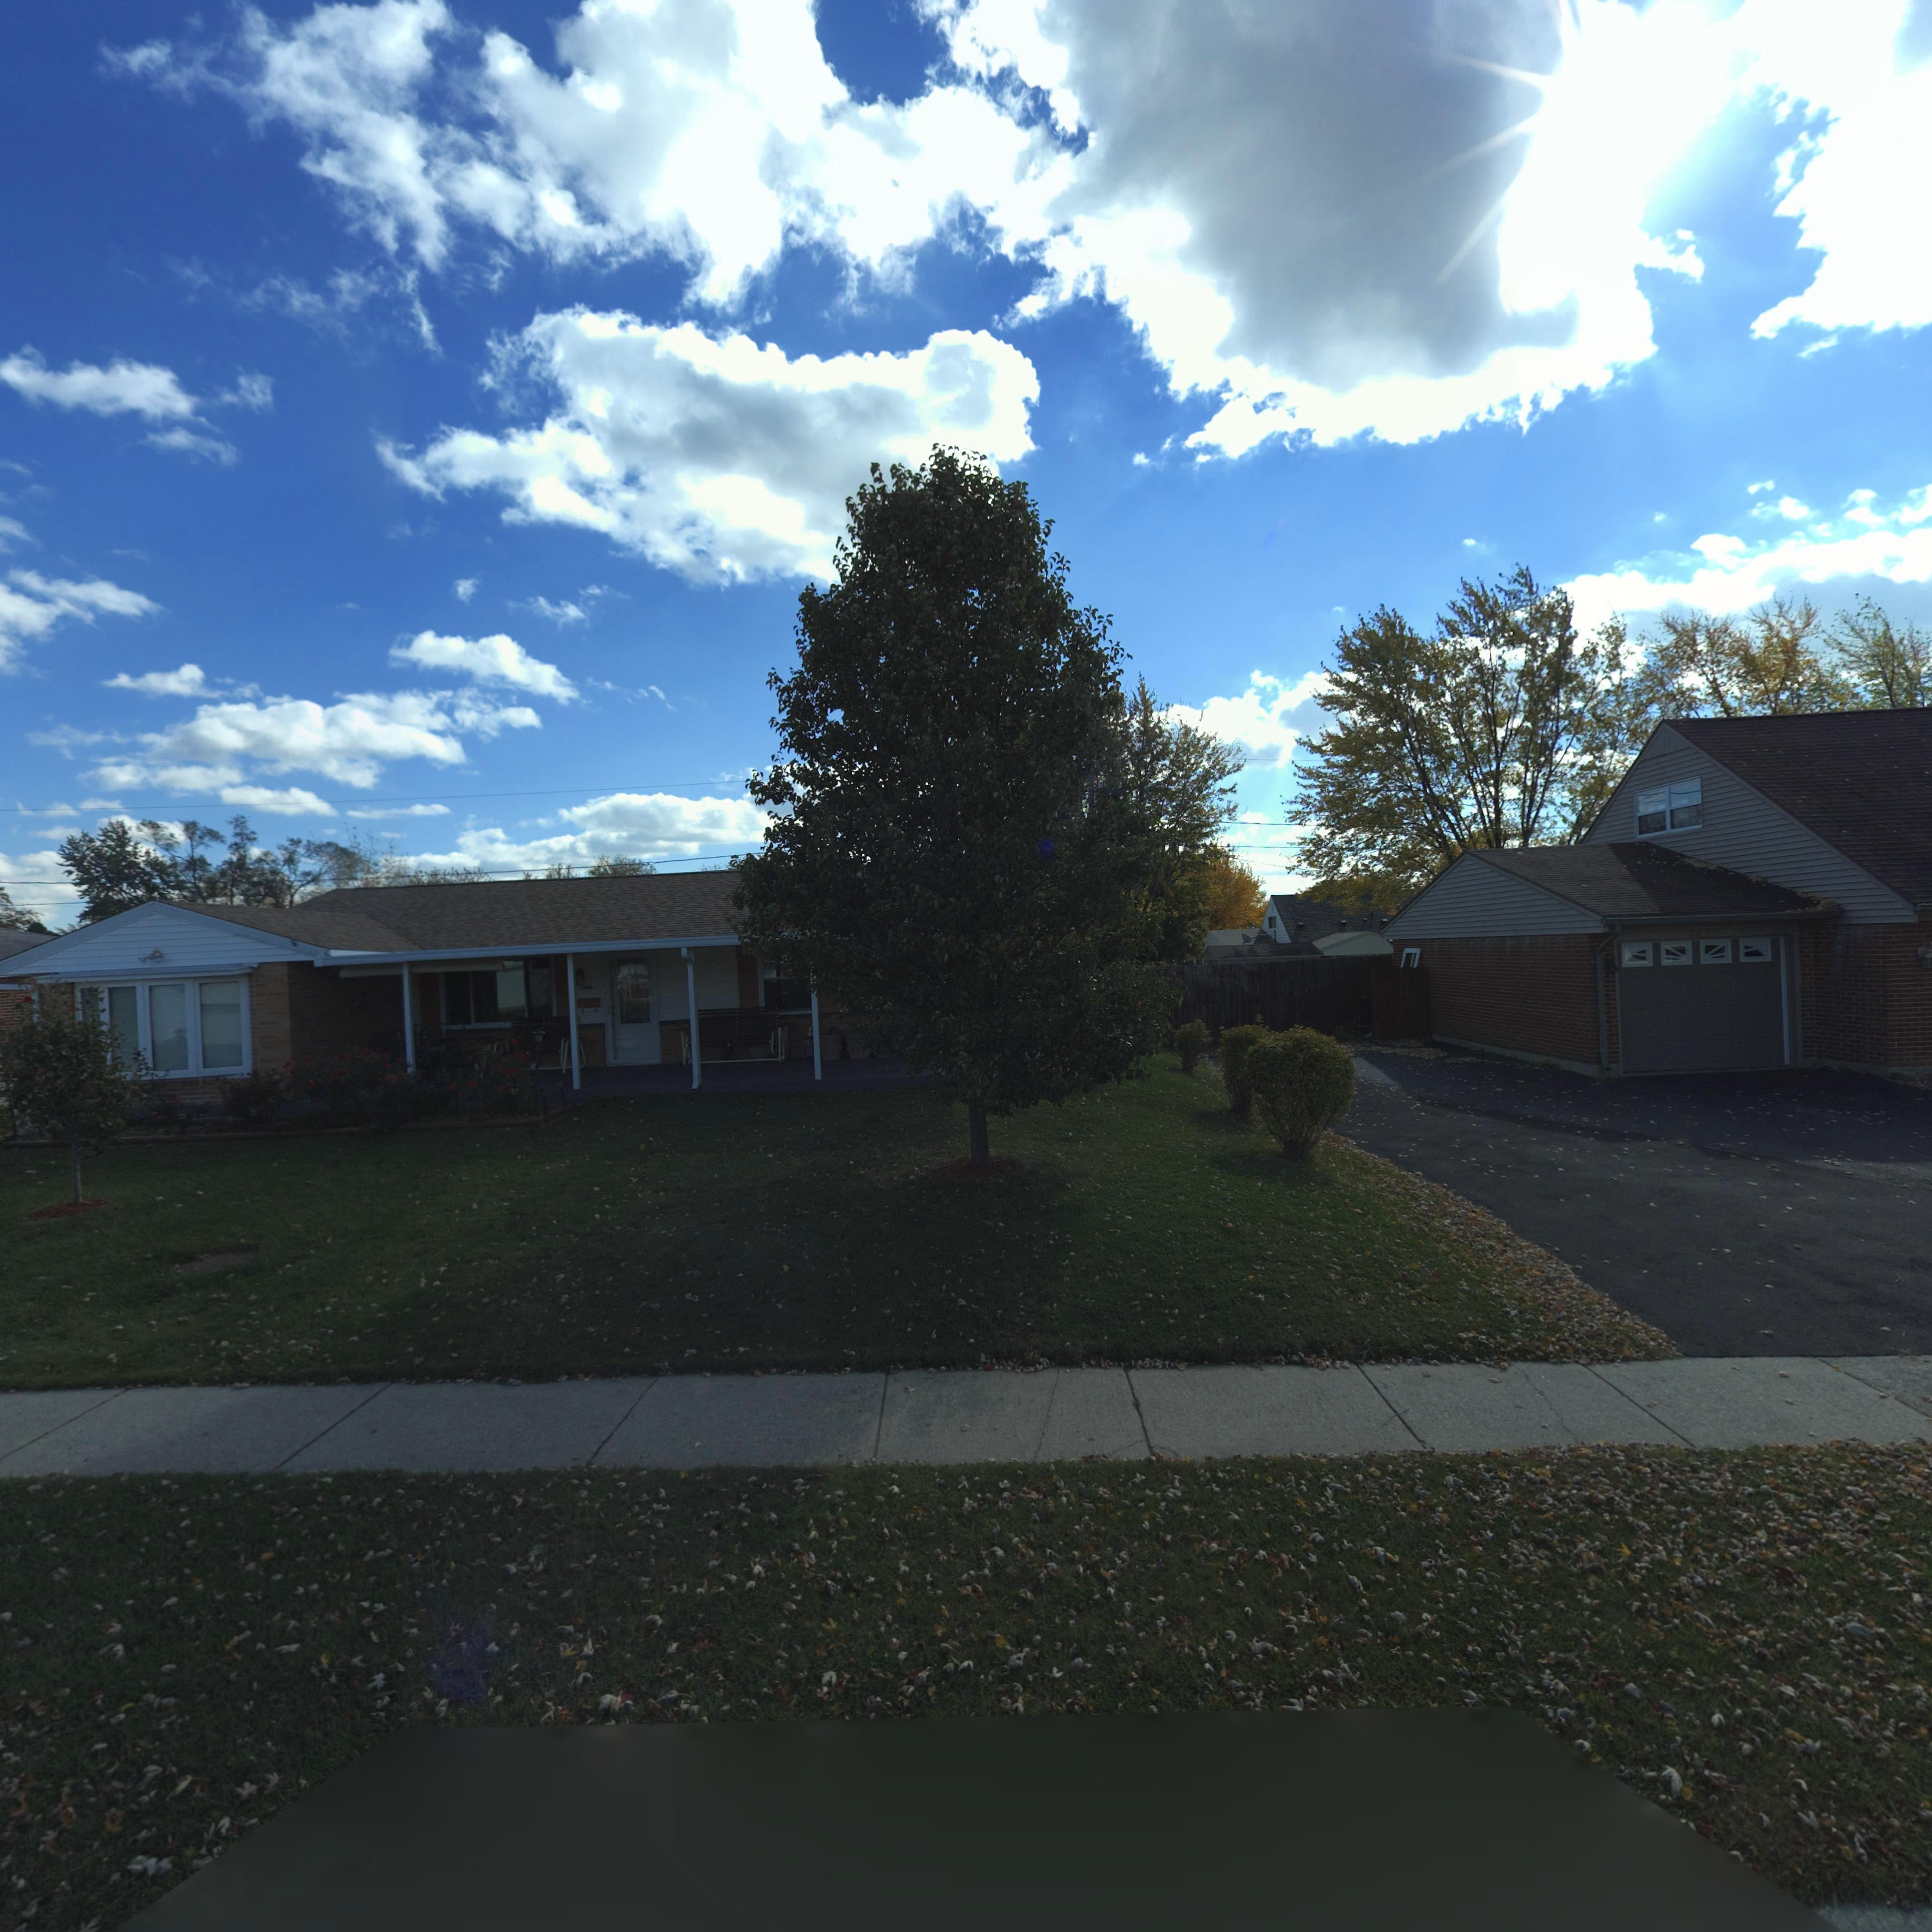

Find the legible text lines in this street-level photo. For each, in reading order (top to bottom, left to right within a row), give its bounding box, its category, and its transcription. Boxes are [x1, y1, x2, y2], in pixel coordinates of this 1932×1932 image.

[1687, 927, 1724, 938] StreetNumber: 7*78
[578, 984, 593, 990] StreetNumber: 76*6